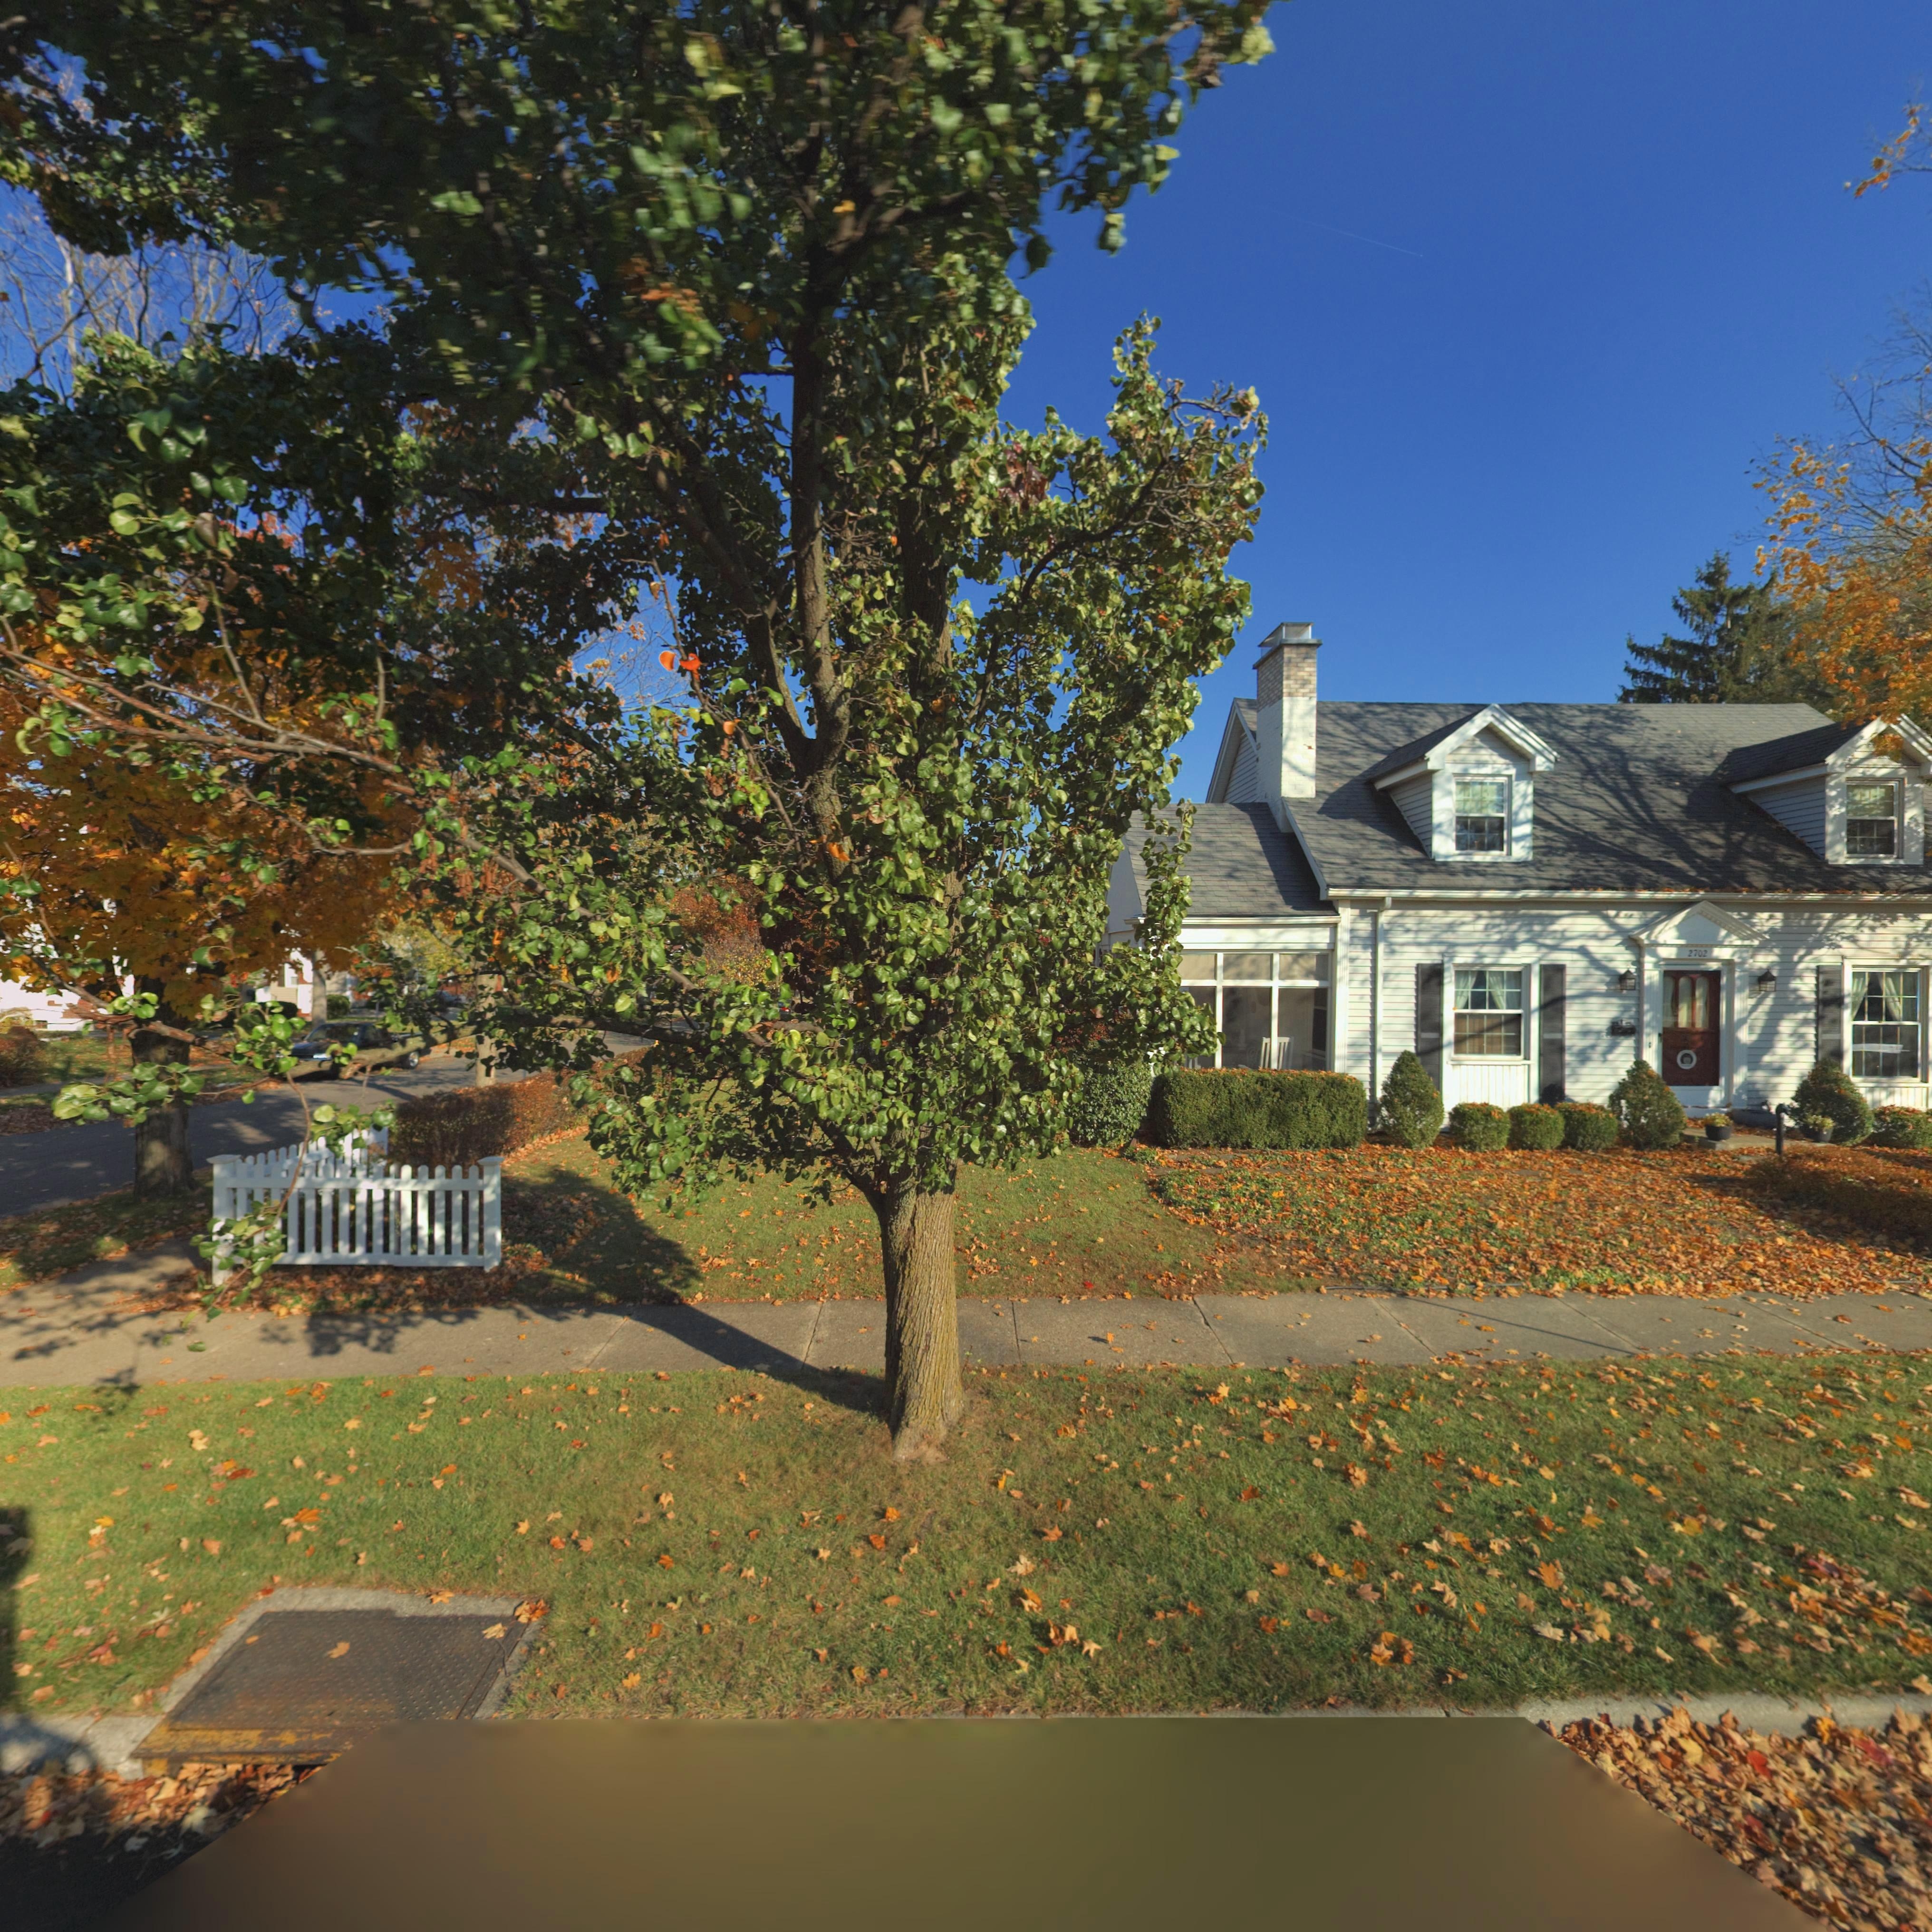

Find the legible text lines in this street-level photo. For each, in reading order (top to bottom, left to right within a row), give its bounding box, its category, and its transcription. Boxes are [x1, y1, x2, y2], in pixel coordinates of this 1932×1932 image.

[1686, 948, 1710, 958] StreetNumber: 2702